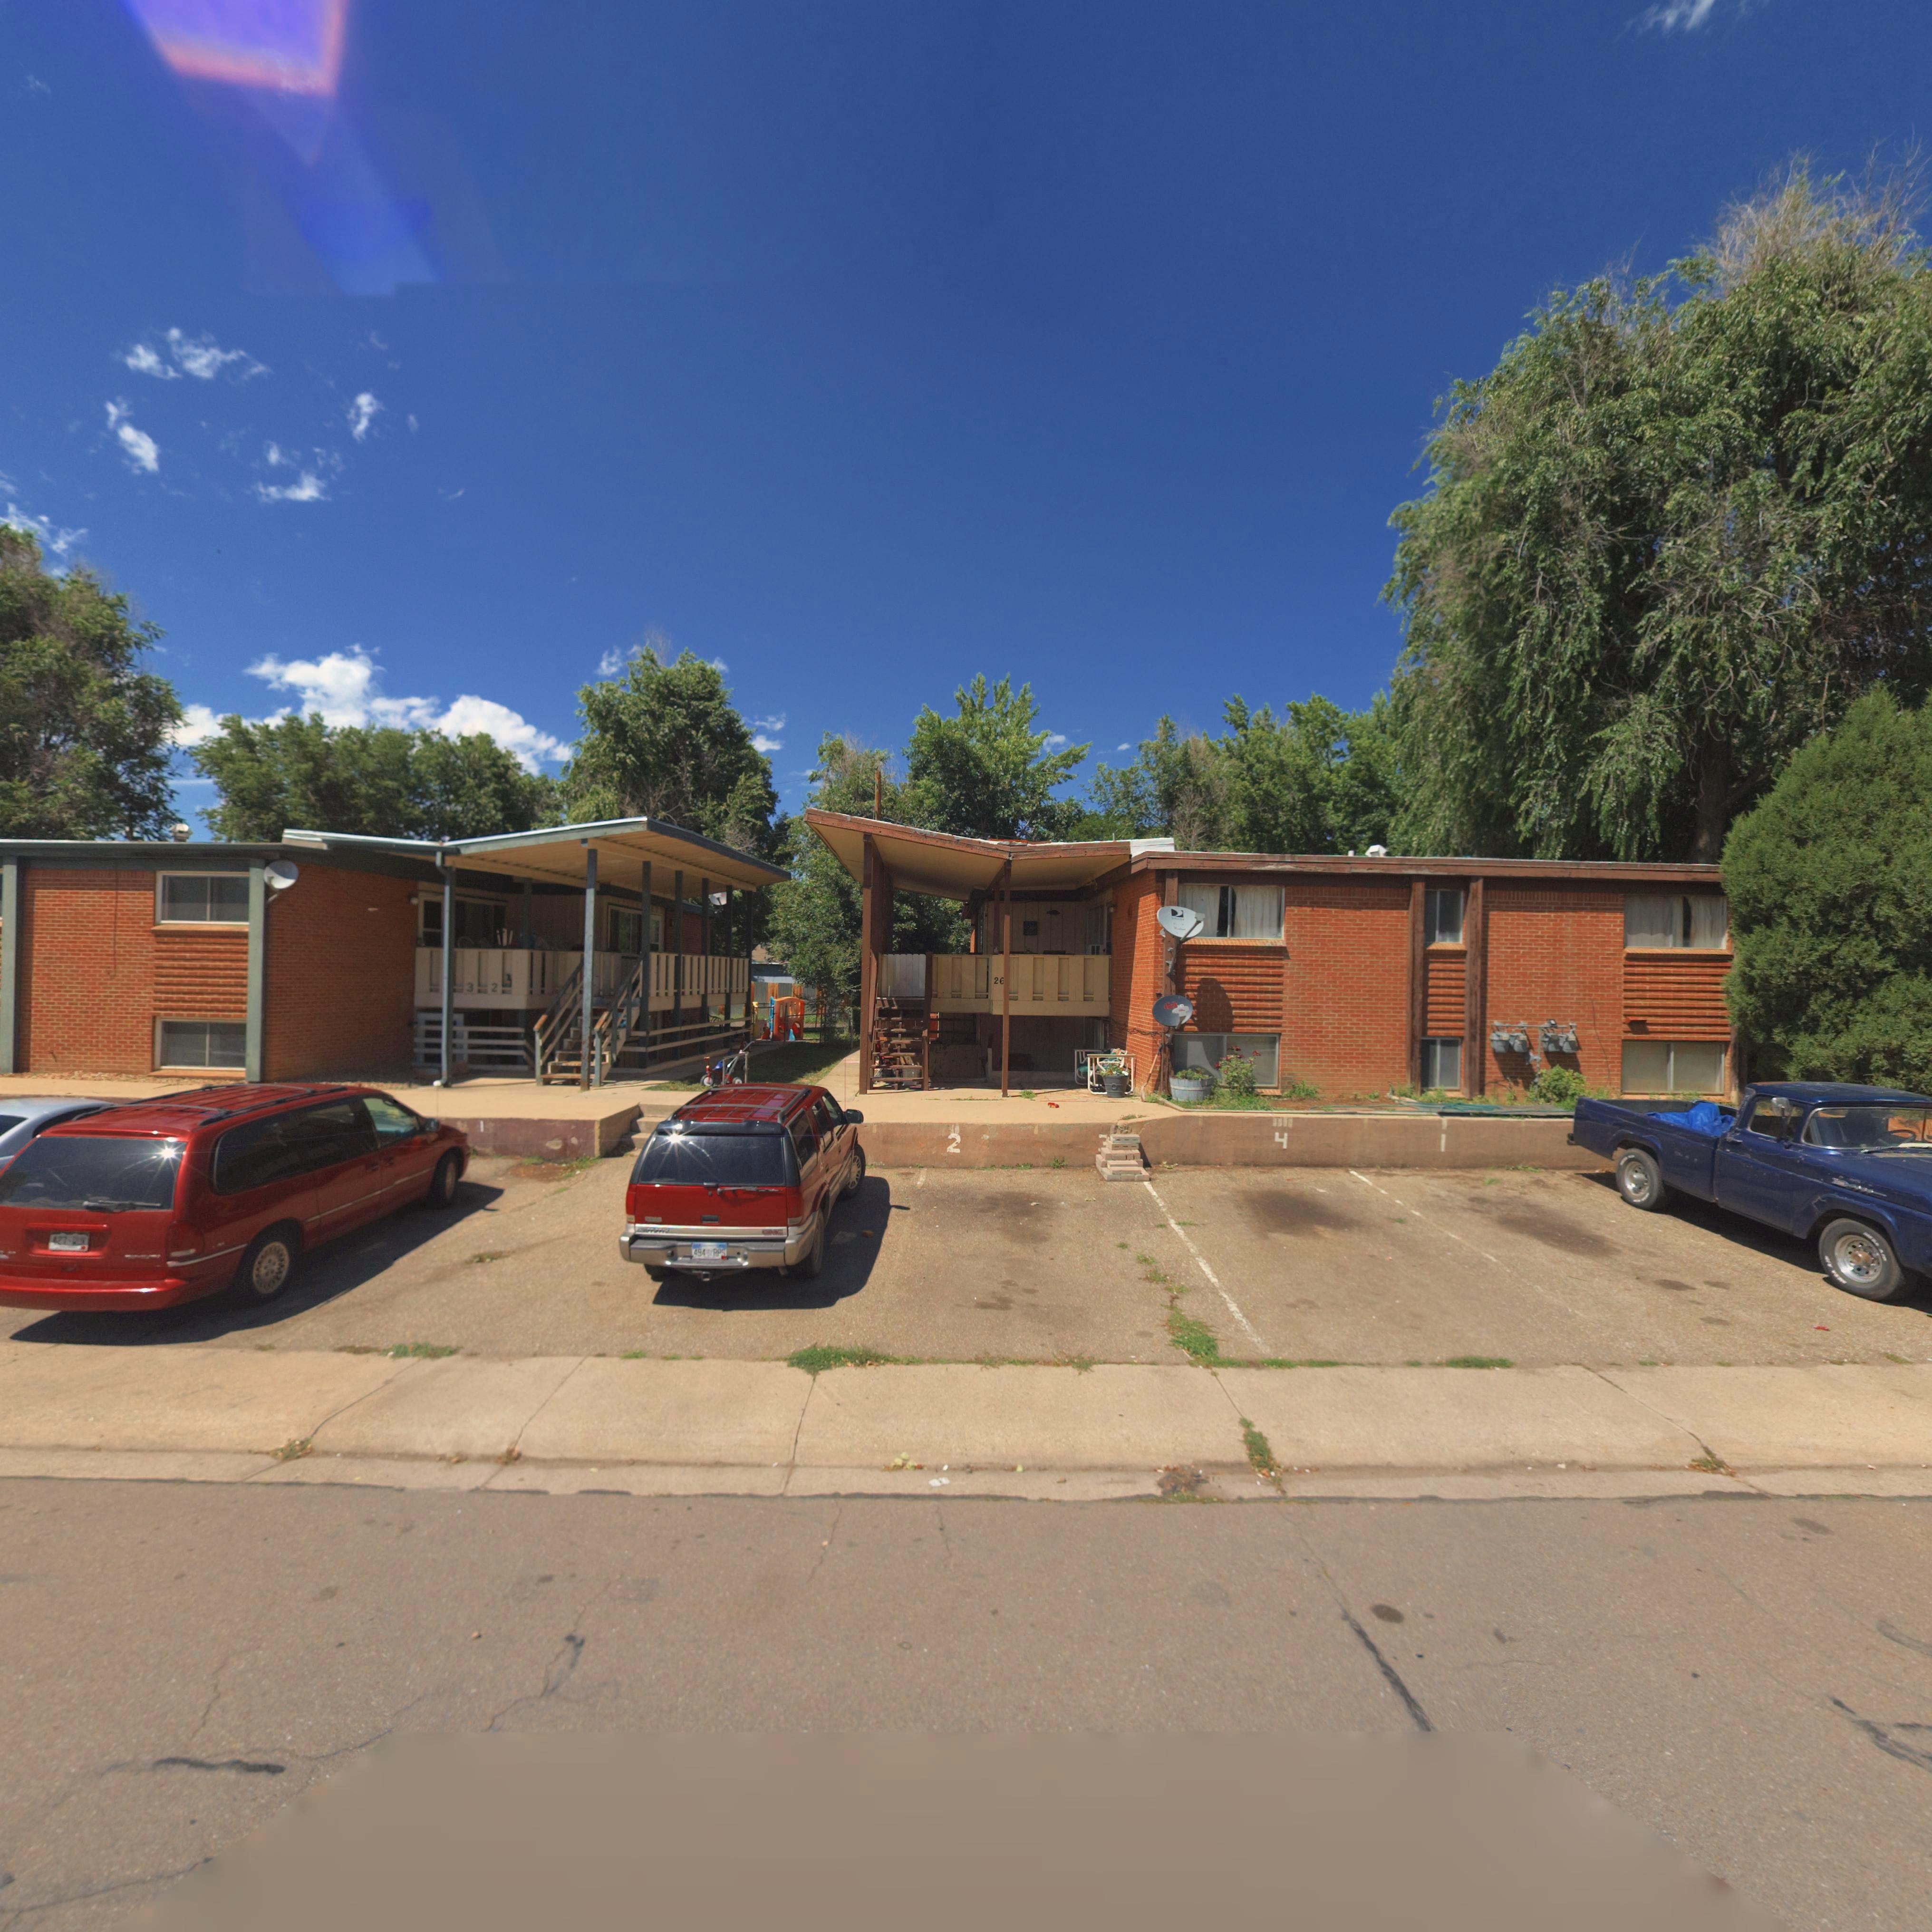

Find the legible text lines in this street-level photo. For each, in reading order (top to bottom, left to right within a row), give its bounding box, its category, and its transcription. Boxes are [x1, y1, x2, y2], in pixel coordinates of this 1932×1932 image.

[994, 976, 1004, 984] StreetNumber: 26
[466, 982, 498, 992] StreetNumber: 3 2